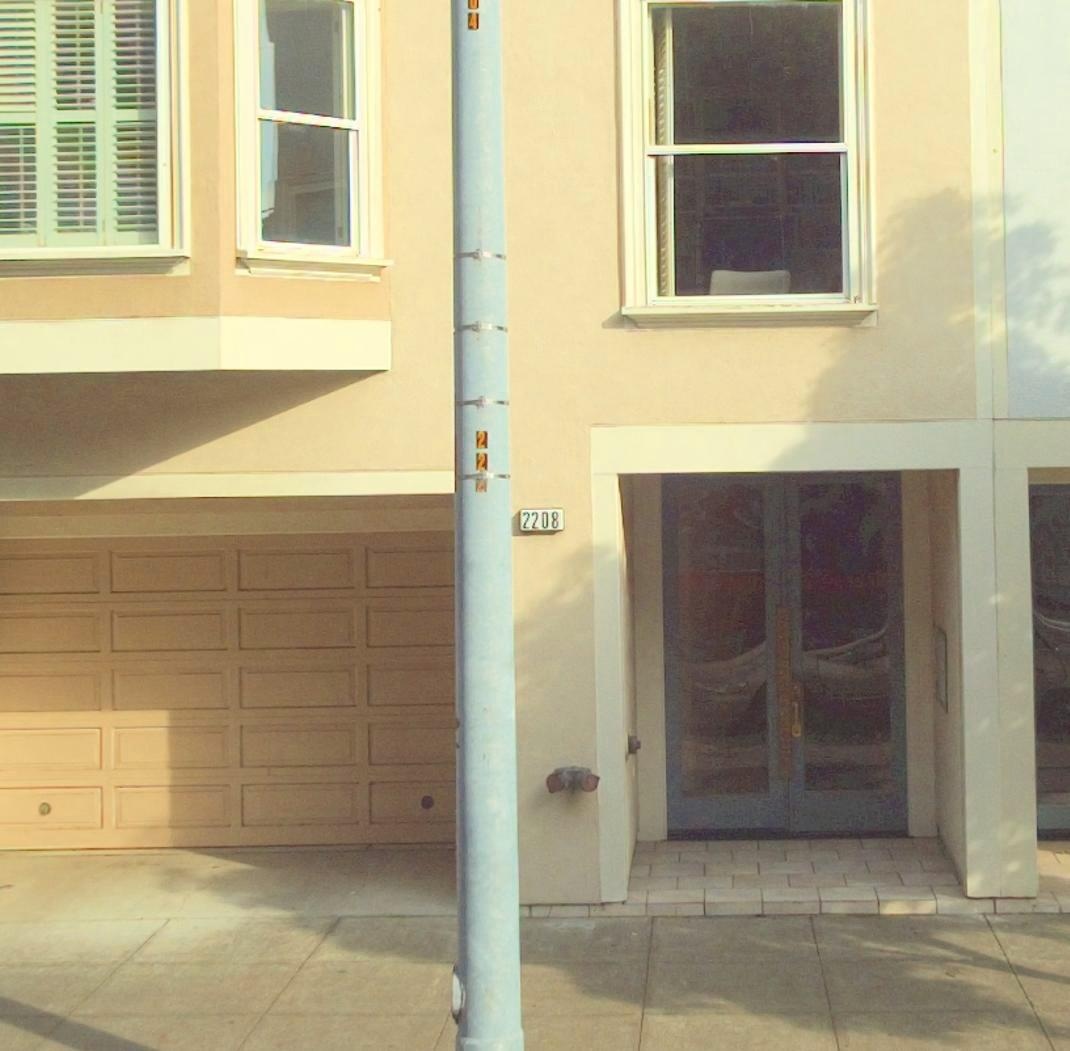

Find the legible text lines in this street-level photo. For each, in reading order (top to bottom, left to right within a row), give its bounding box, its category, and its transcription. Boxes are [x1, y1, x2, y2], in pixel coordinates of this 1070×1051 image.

[467, 12, 480, 31] None: 4
[475, 430, 488, 494] None: 222
[521, 509, 561, 531] StreetNumber: 2208